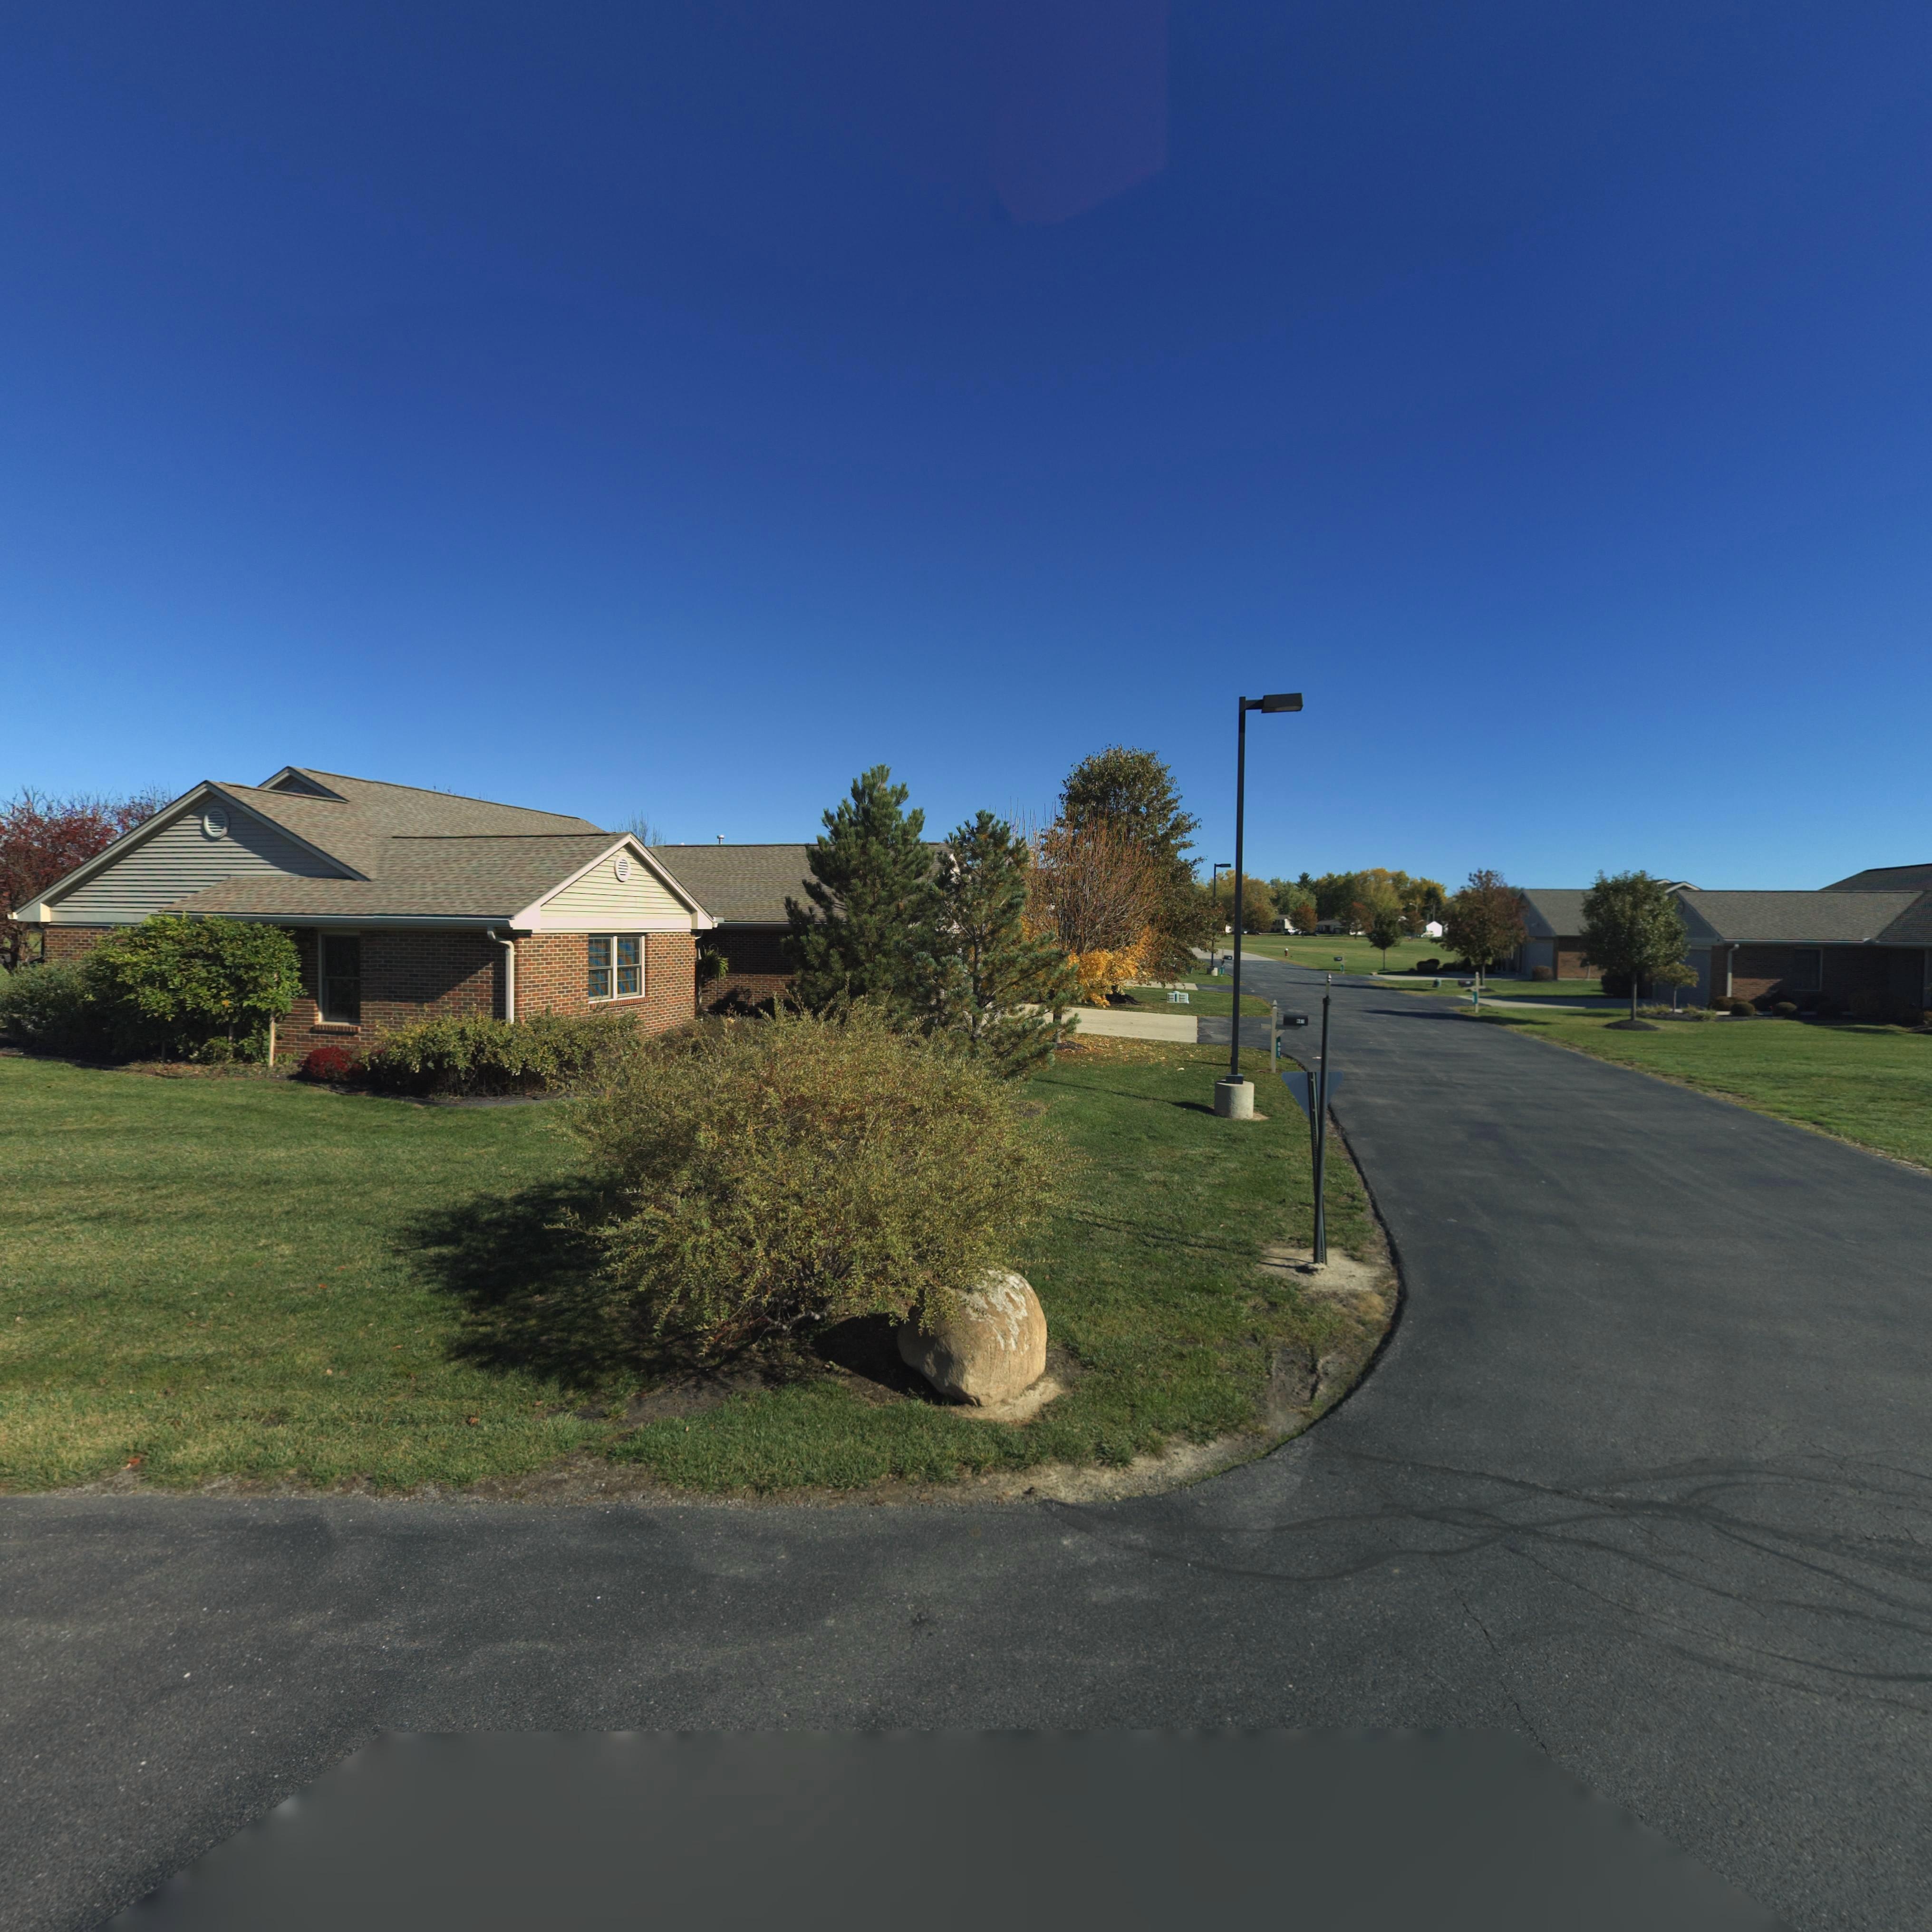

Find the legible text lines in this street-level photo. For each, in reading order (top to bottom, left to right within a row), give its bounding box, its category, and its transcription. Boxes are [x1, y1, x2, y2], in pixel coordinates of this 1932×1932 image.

[1296, 1019, 1304, 1023] StreetNumber: *01
[1277, 1042, 1281, 1056] StreetNumber: 601